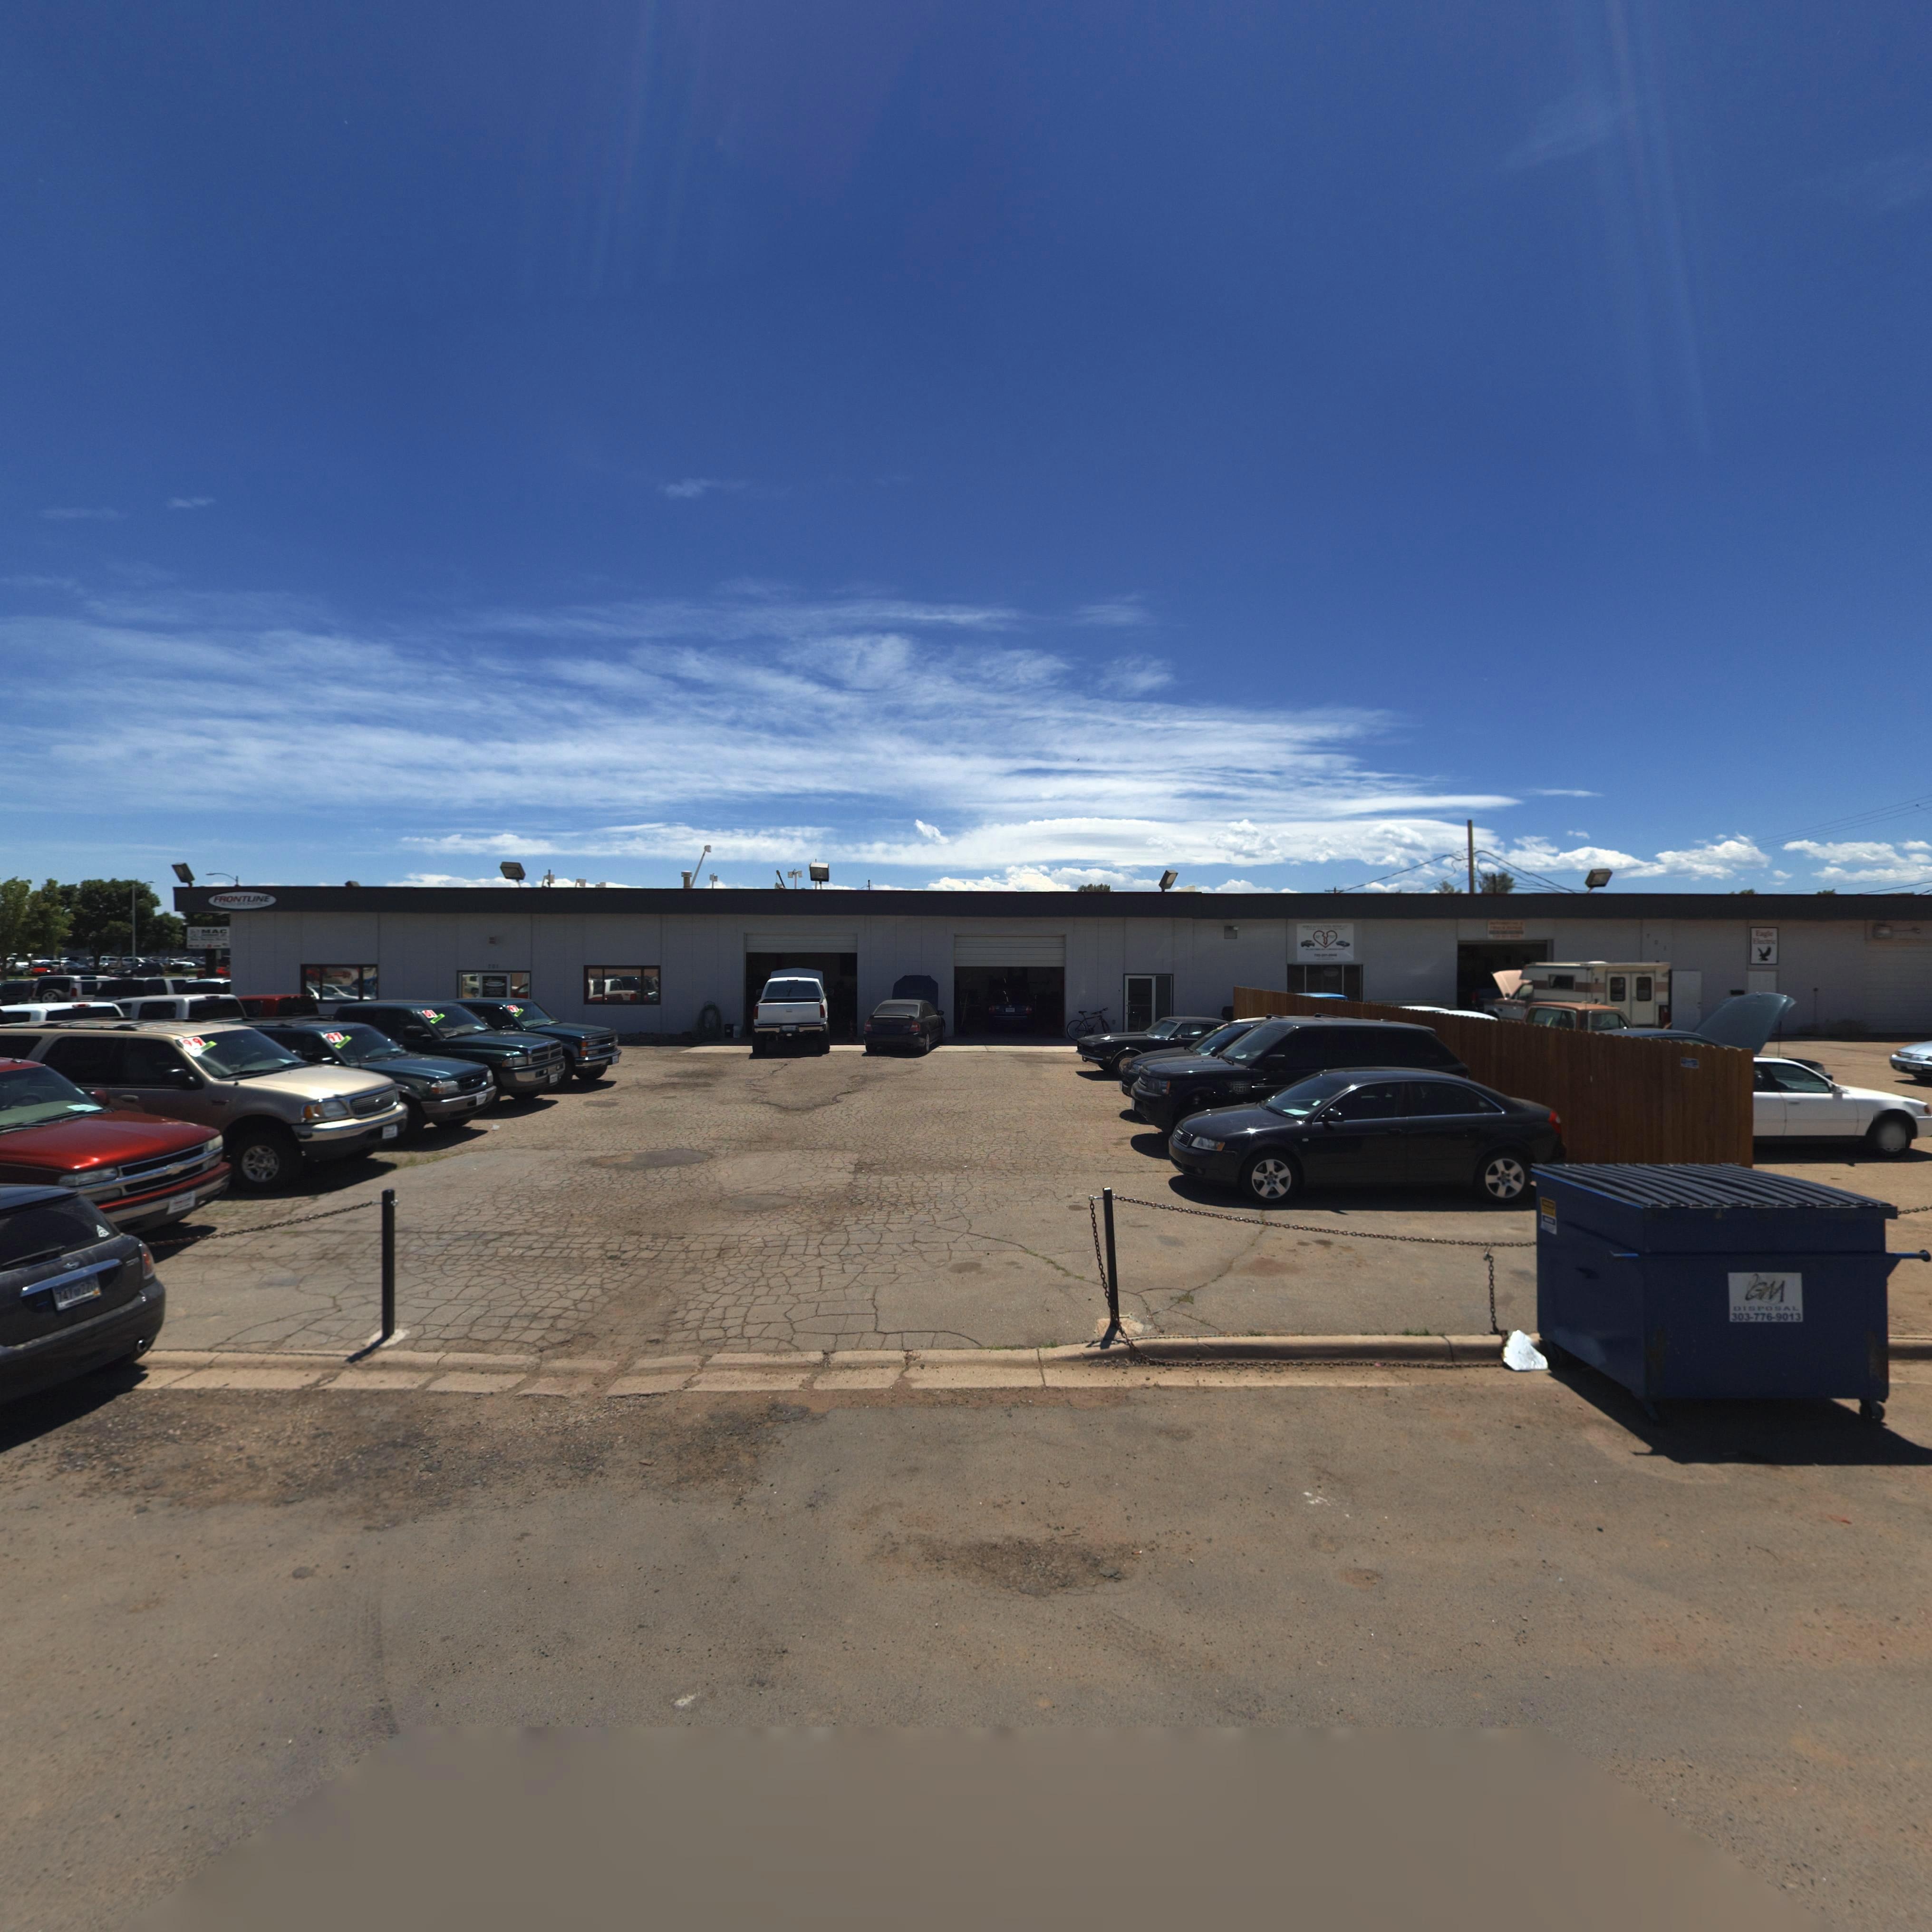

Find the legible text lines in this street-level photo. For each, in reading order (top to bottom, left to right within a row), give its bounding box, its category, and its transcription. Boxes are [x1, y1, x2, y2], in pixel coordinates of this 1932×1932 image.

[213, 895, 270, 902] BusinessName: FRONTLINE
[201, 928, 227, 934] BusinessName: MAC
[1755, 929, 1774, 938] BusinessName: Eagle
[1752, 937, 1776, 944] BusinessName: Electric
[486, 964, 499, 969] StreetNumber: 701